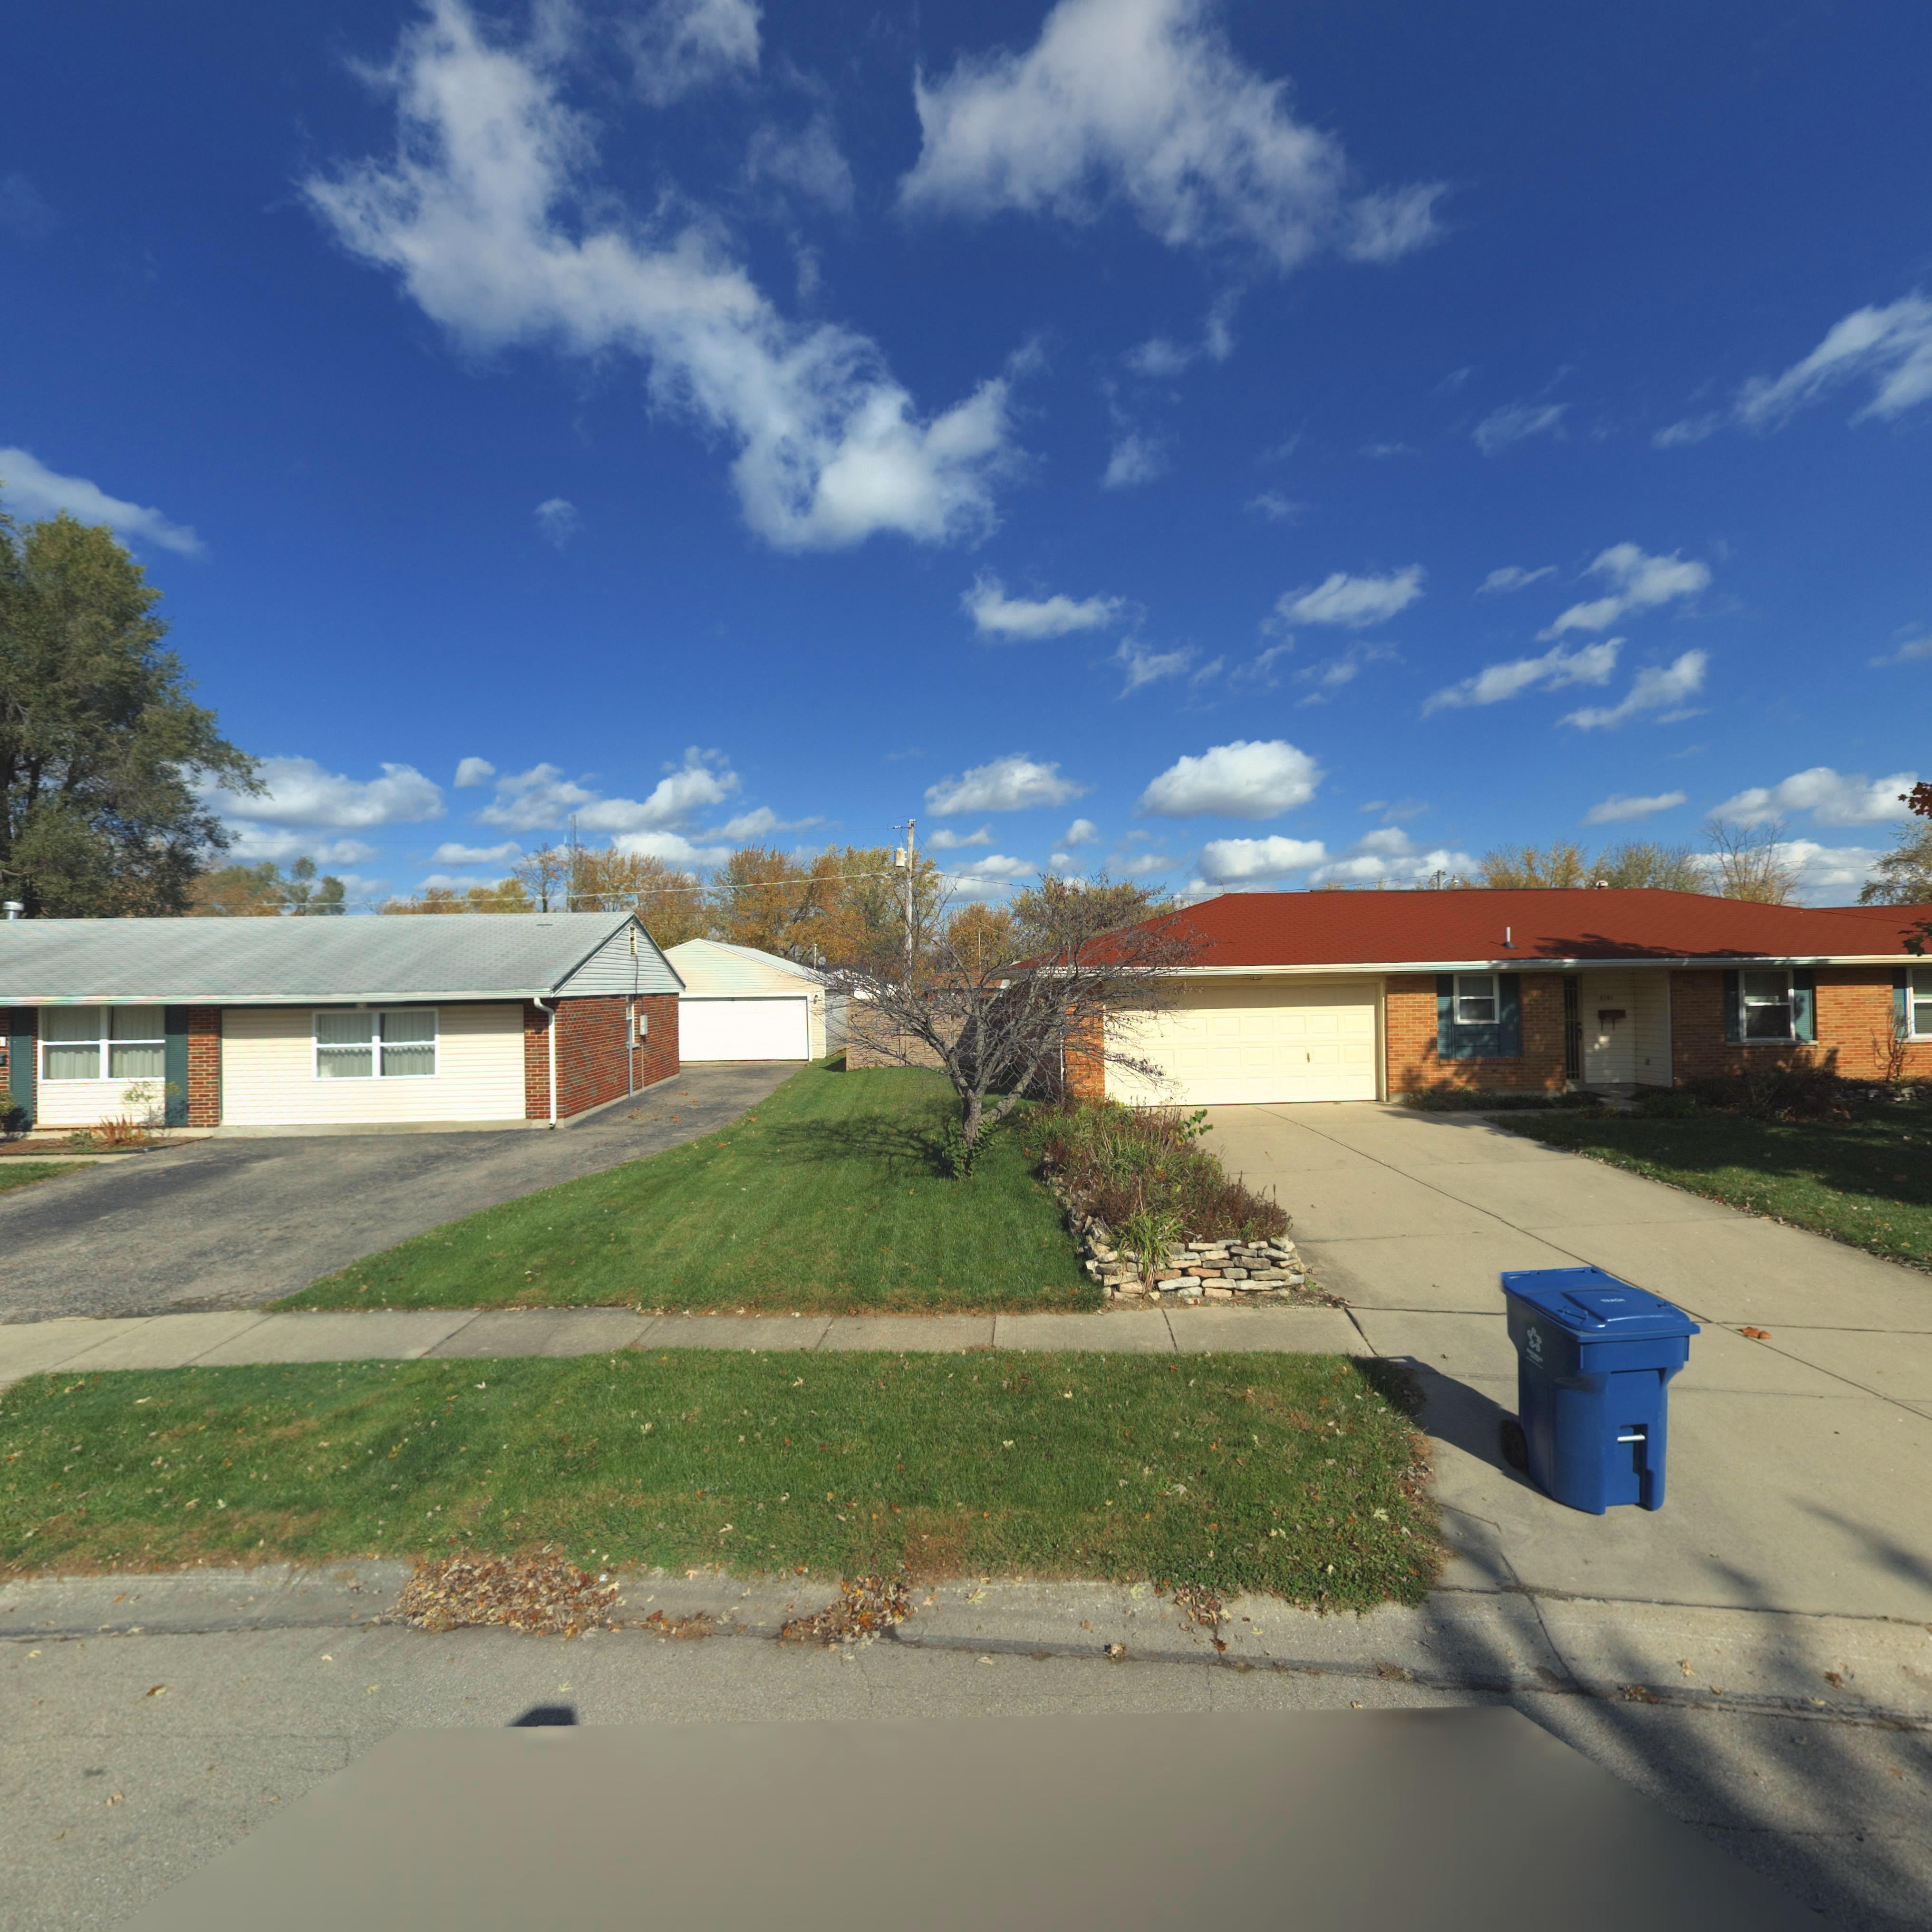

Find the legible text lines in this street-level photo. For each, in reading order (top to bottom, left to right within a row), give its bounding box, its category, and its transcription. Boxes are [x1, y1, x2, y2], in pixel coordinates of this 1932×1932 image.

[1599, 995, 1613, 1001] StreetNumber: 6781